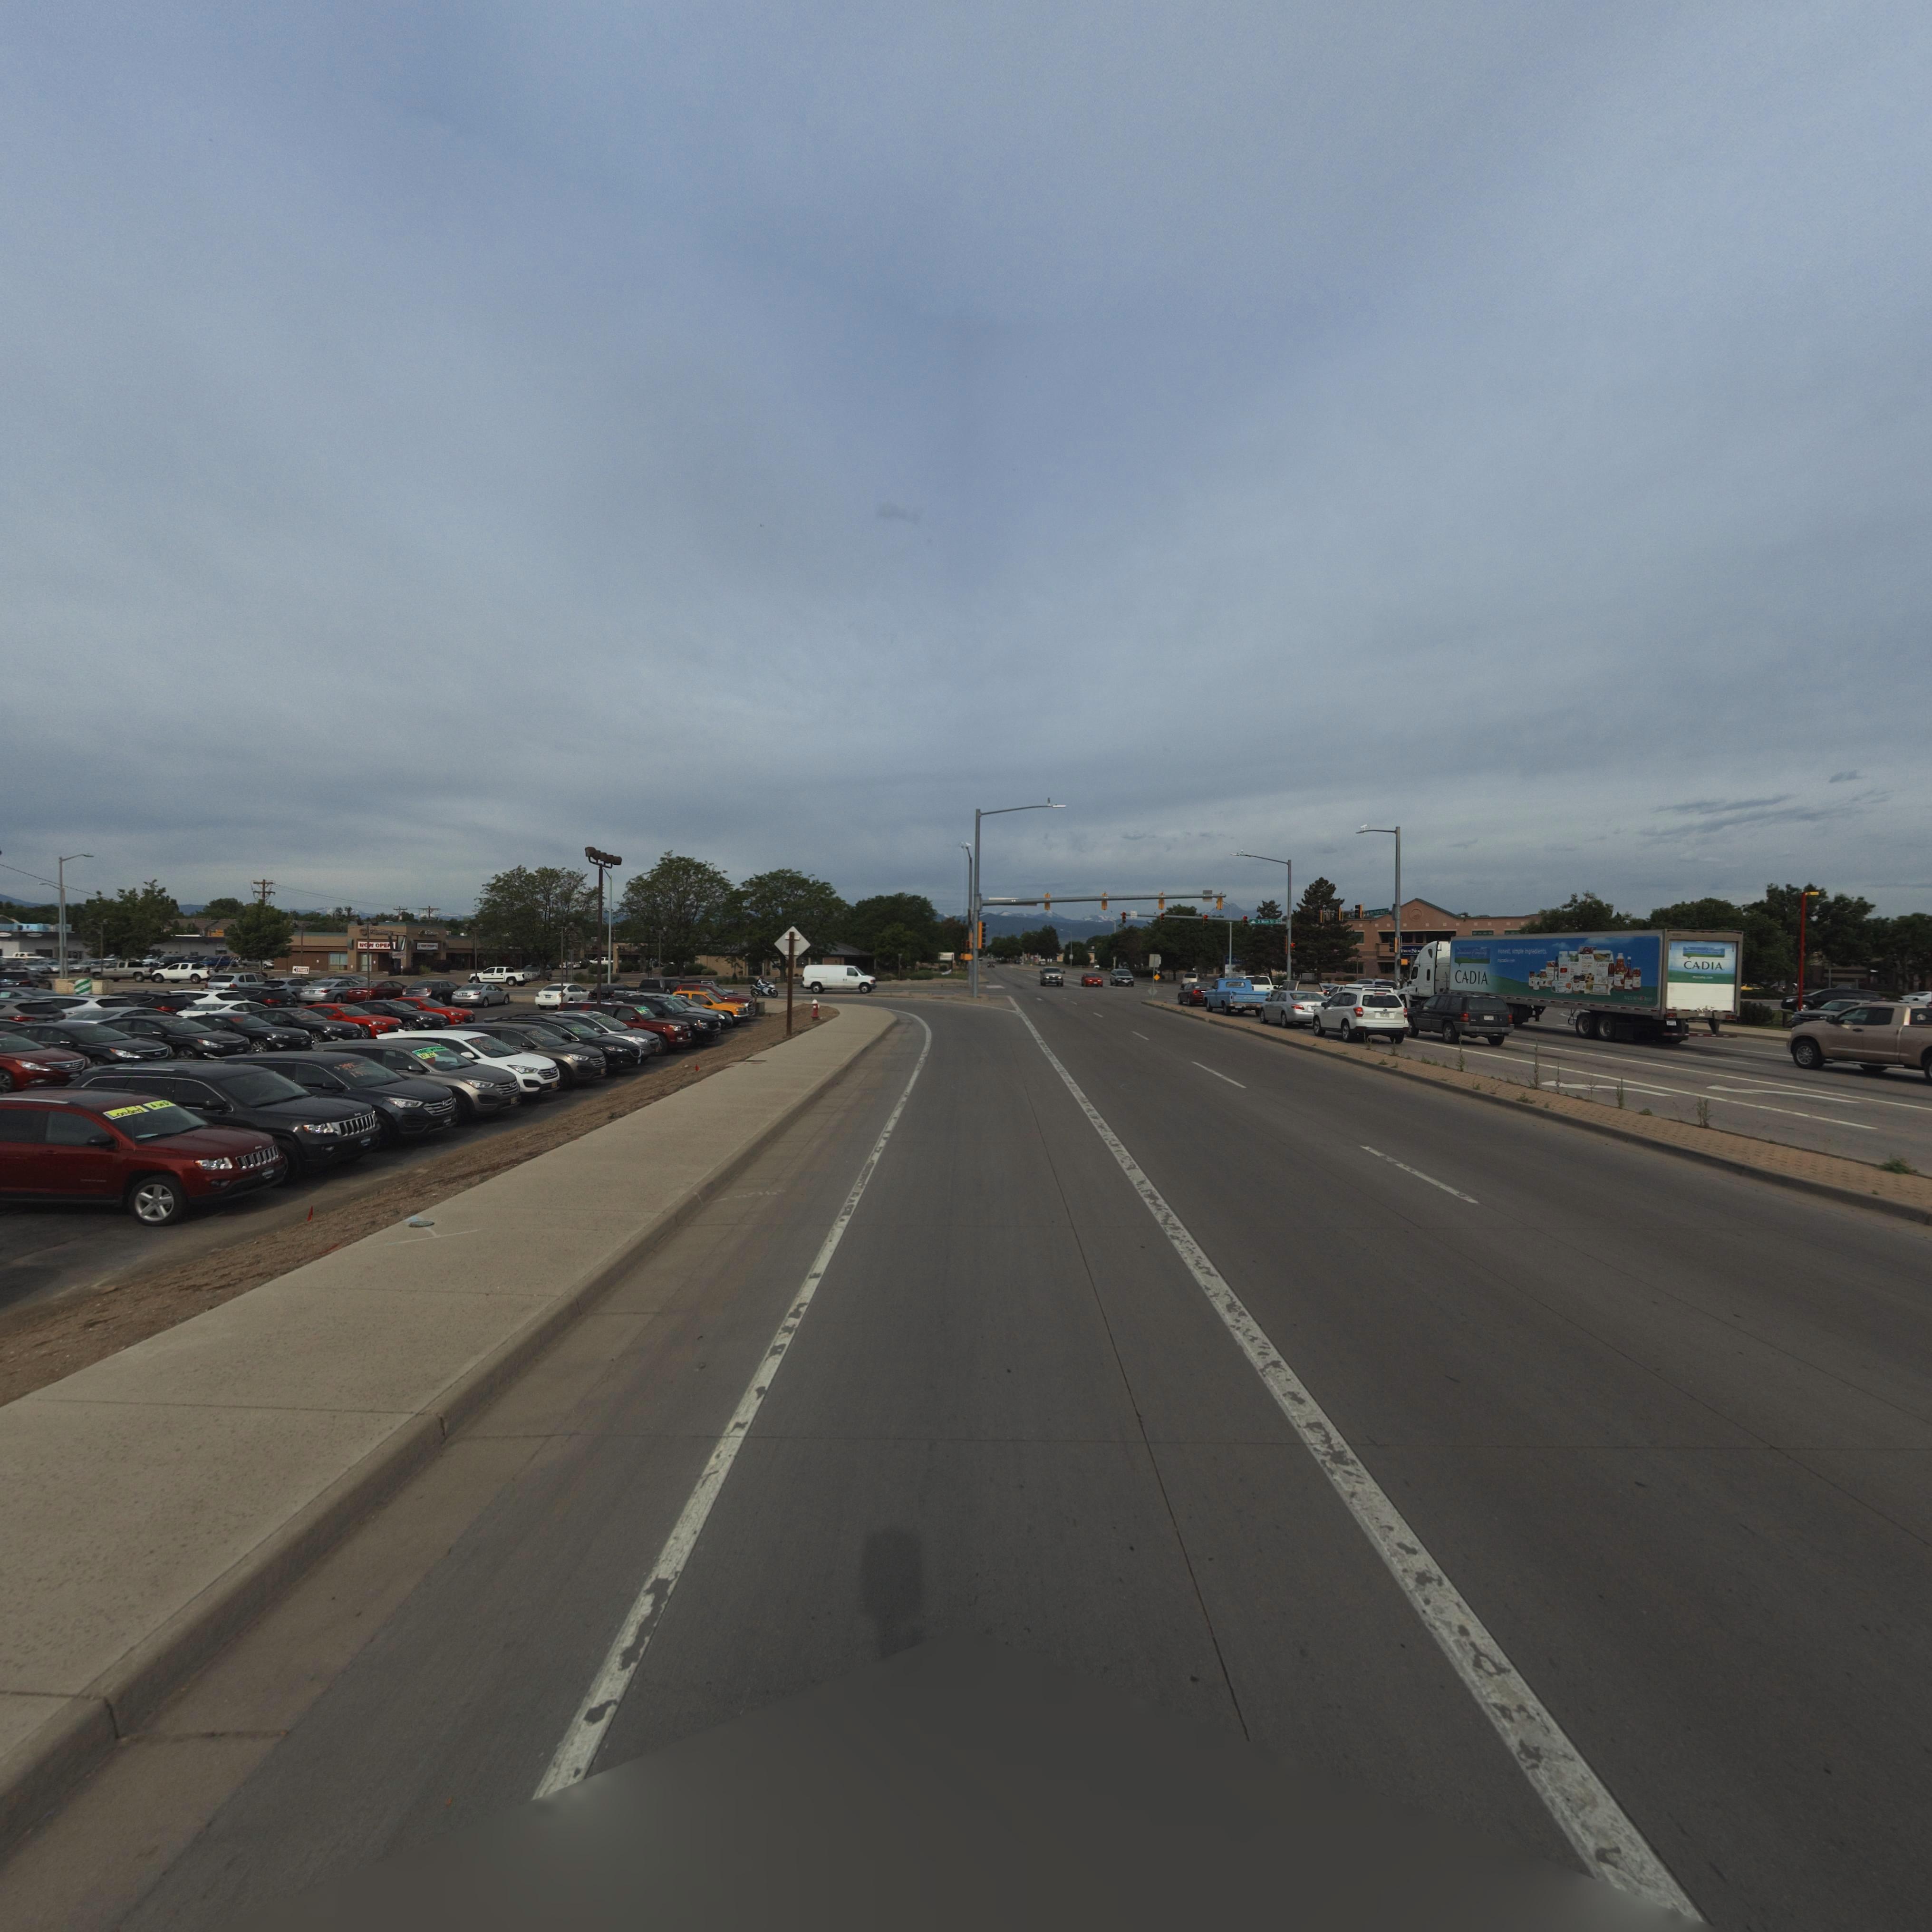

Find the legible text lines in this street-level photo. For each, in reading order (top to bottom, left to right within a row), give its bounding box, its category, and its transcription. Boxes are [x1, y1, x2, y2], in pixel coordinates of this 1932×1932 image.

[1369, 909, 1385, 915] StreetName: *** ***** B**d
[1257, 919, 1274, 923] StreetName: S M**n St
[1400, 947, 1421, 953] BusinessName: T***E No**